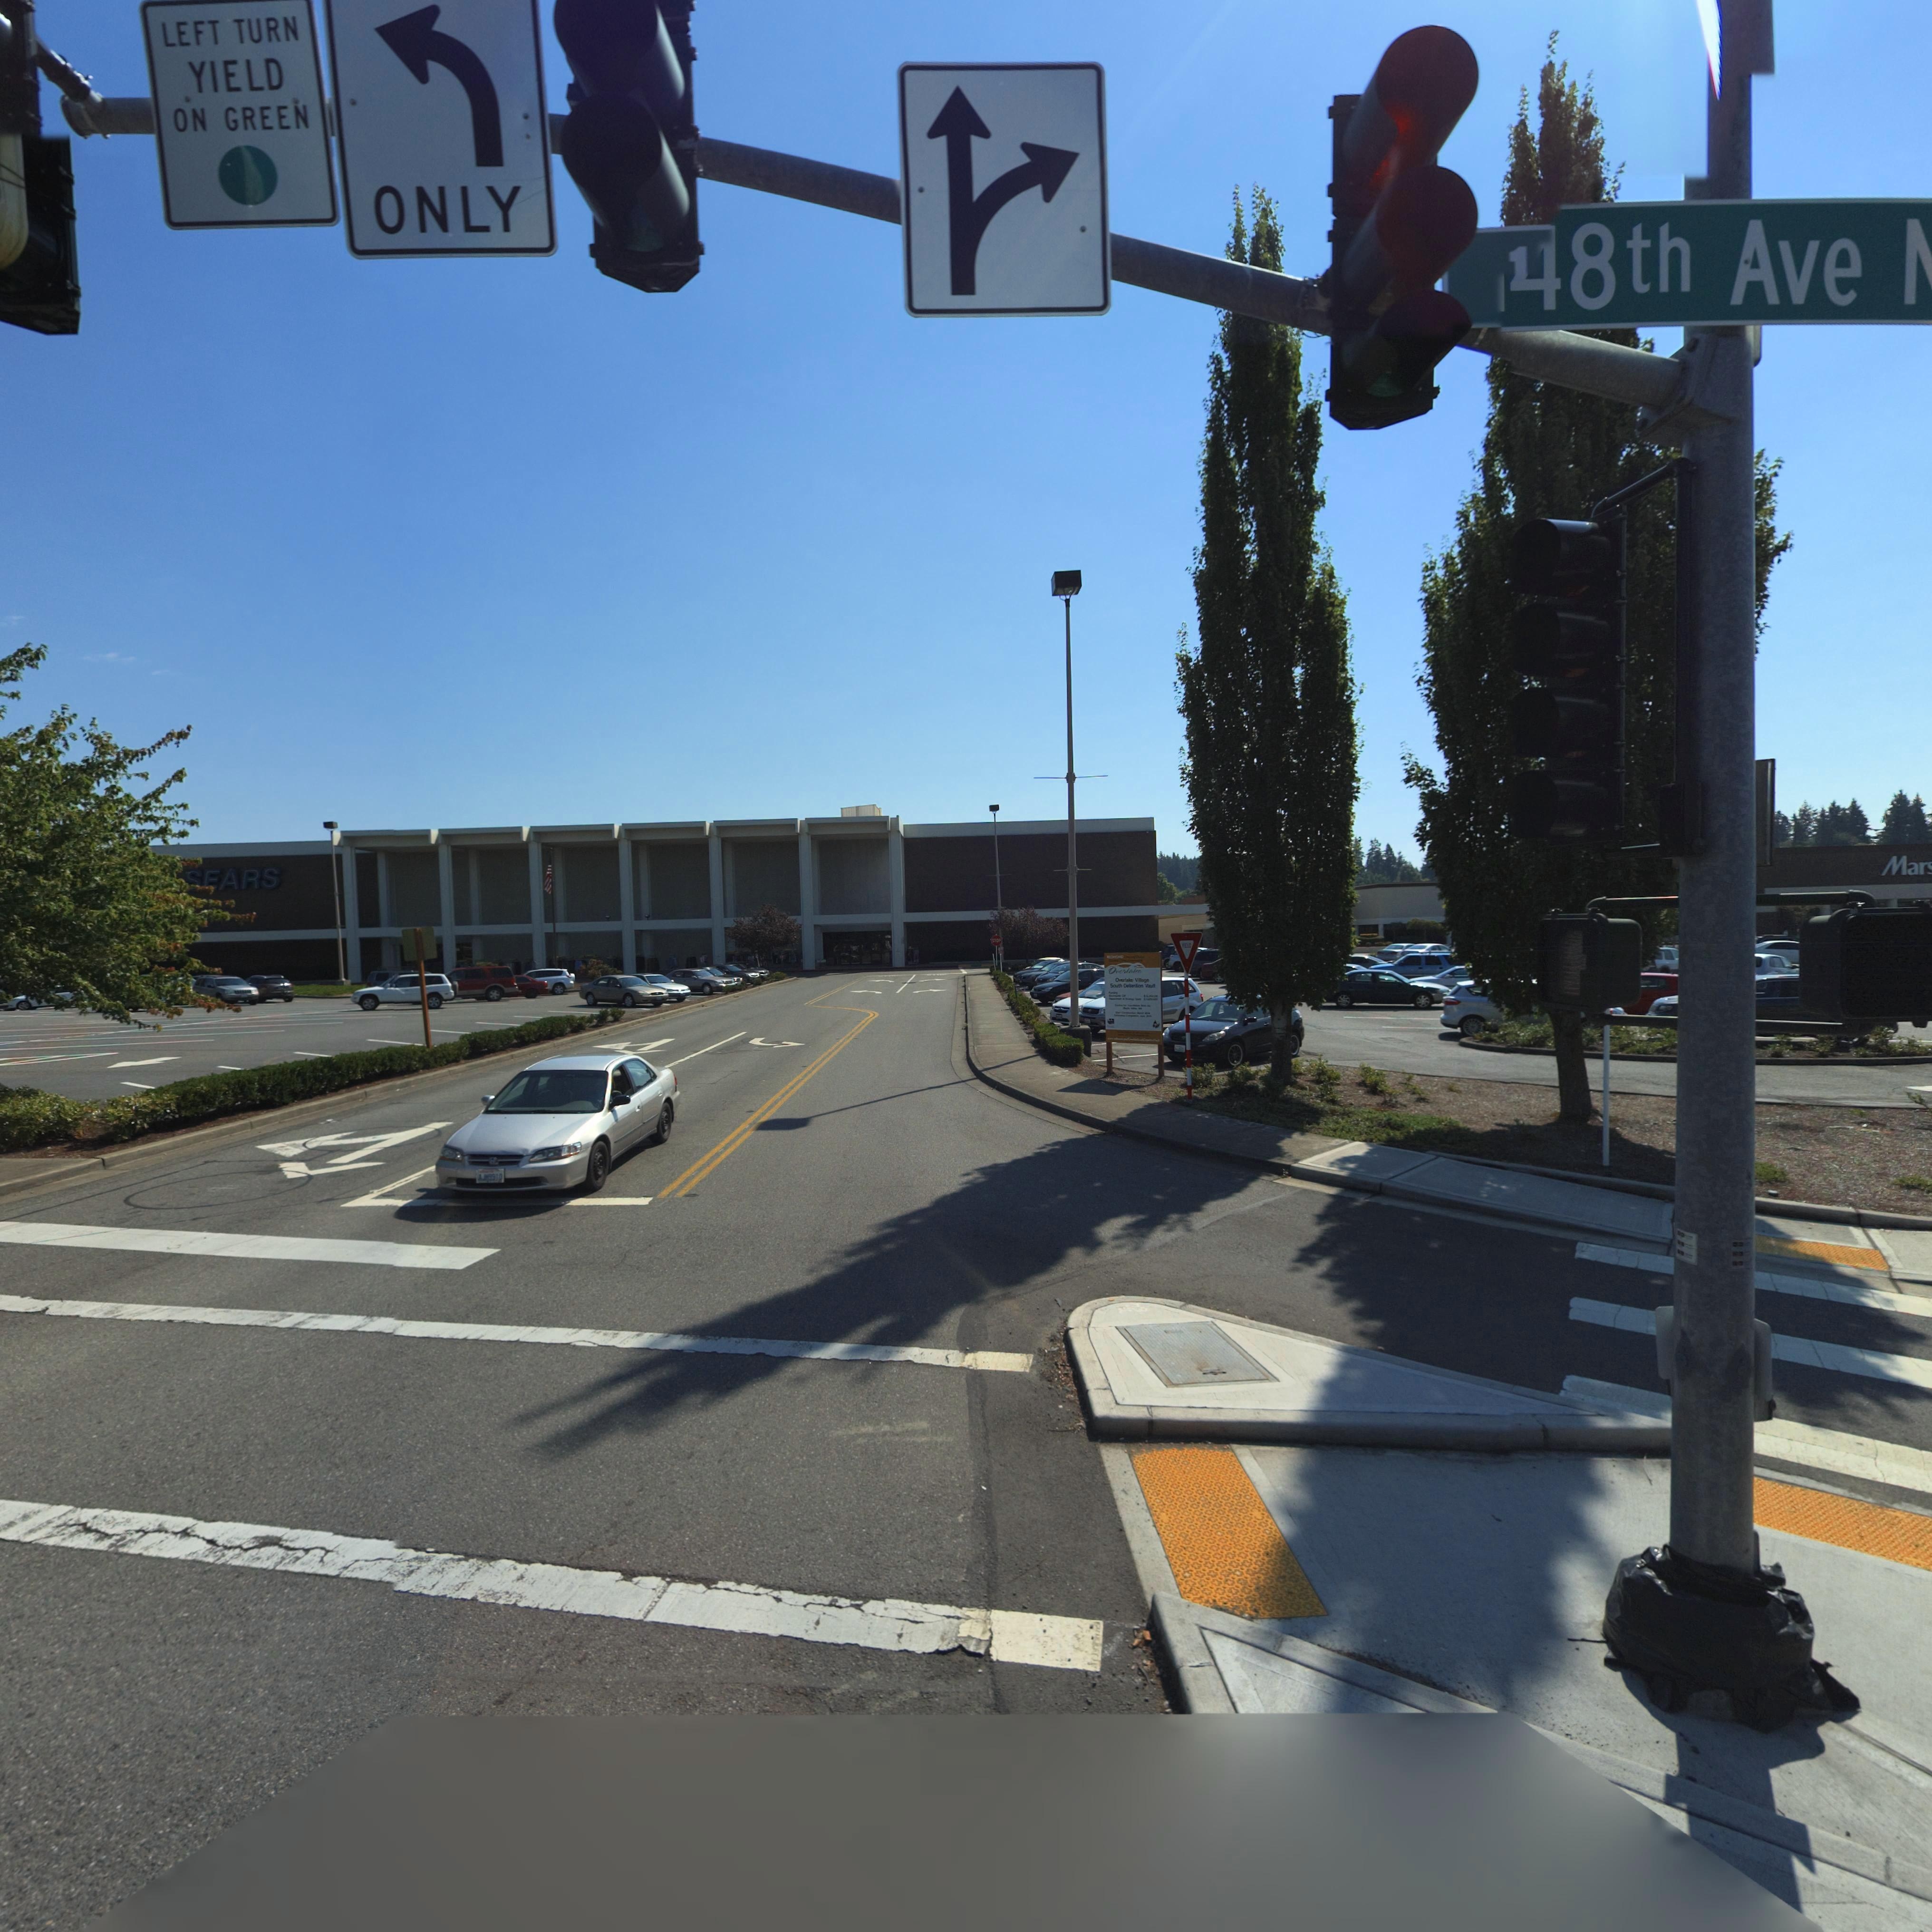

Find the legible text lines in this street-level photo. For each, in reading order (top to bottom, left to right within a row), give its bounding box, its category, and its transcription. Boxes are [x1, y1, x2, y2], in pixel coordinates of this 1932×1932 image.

[1568, 214, 1867, 314] StreetName: 8th Ave
[1879, 855, 1929, 876] BusinessName: Mar
[219, 868, 278, 889] BusinessName: ARS